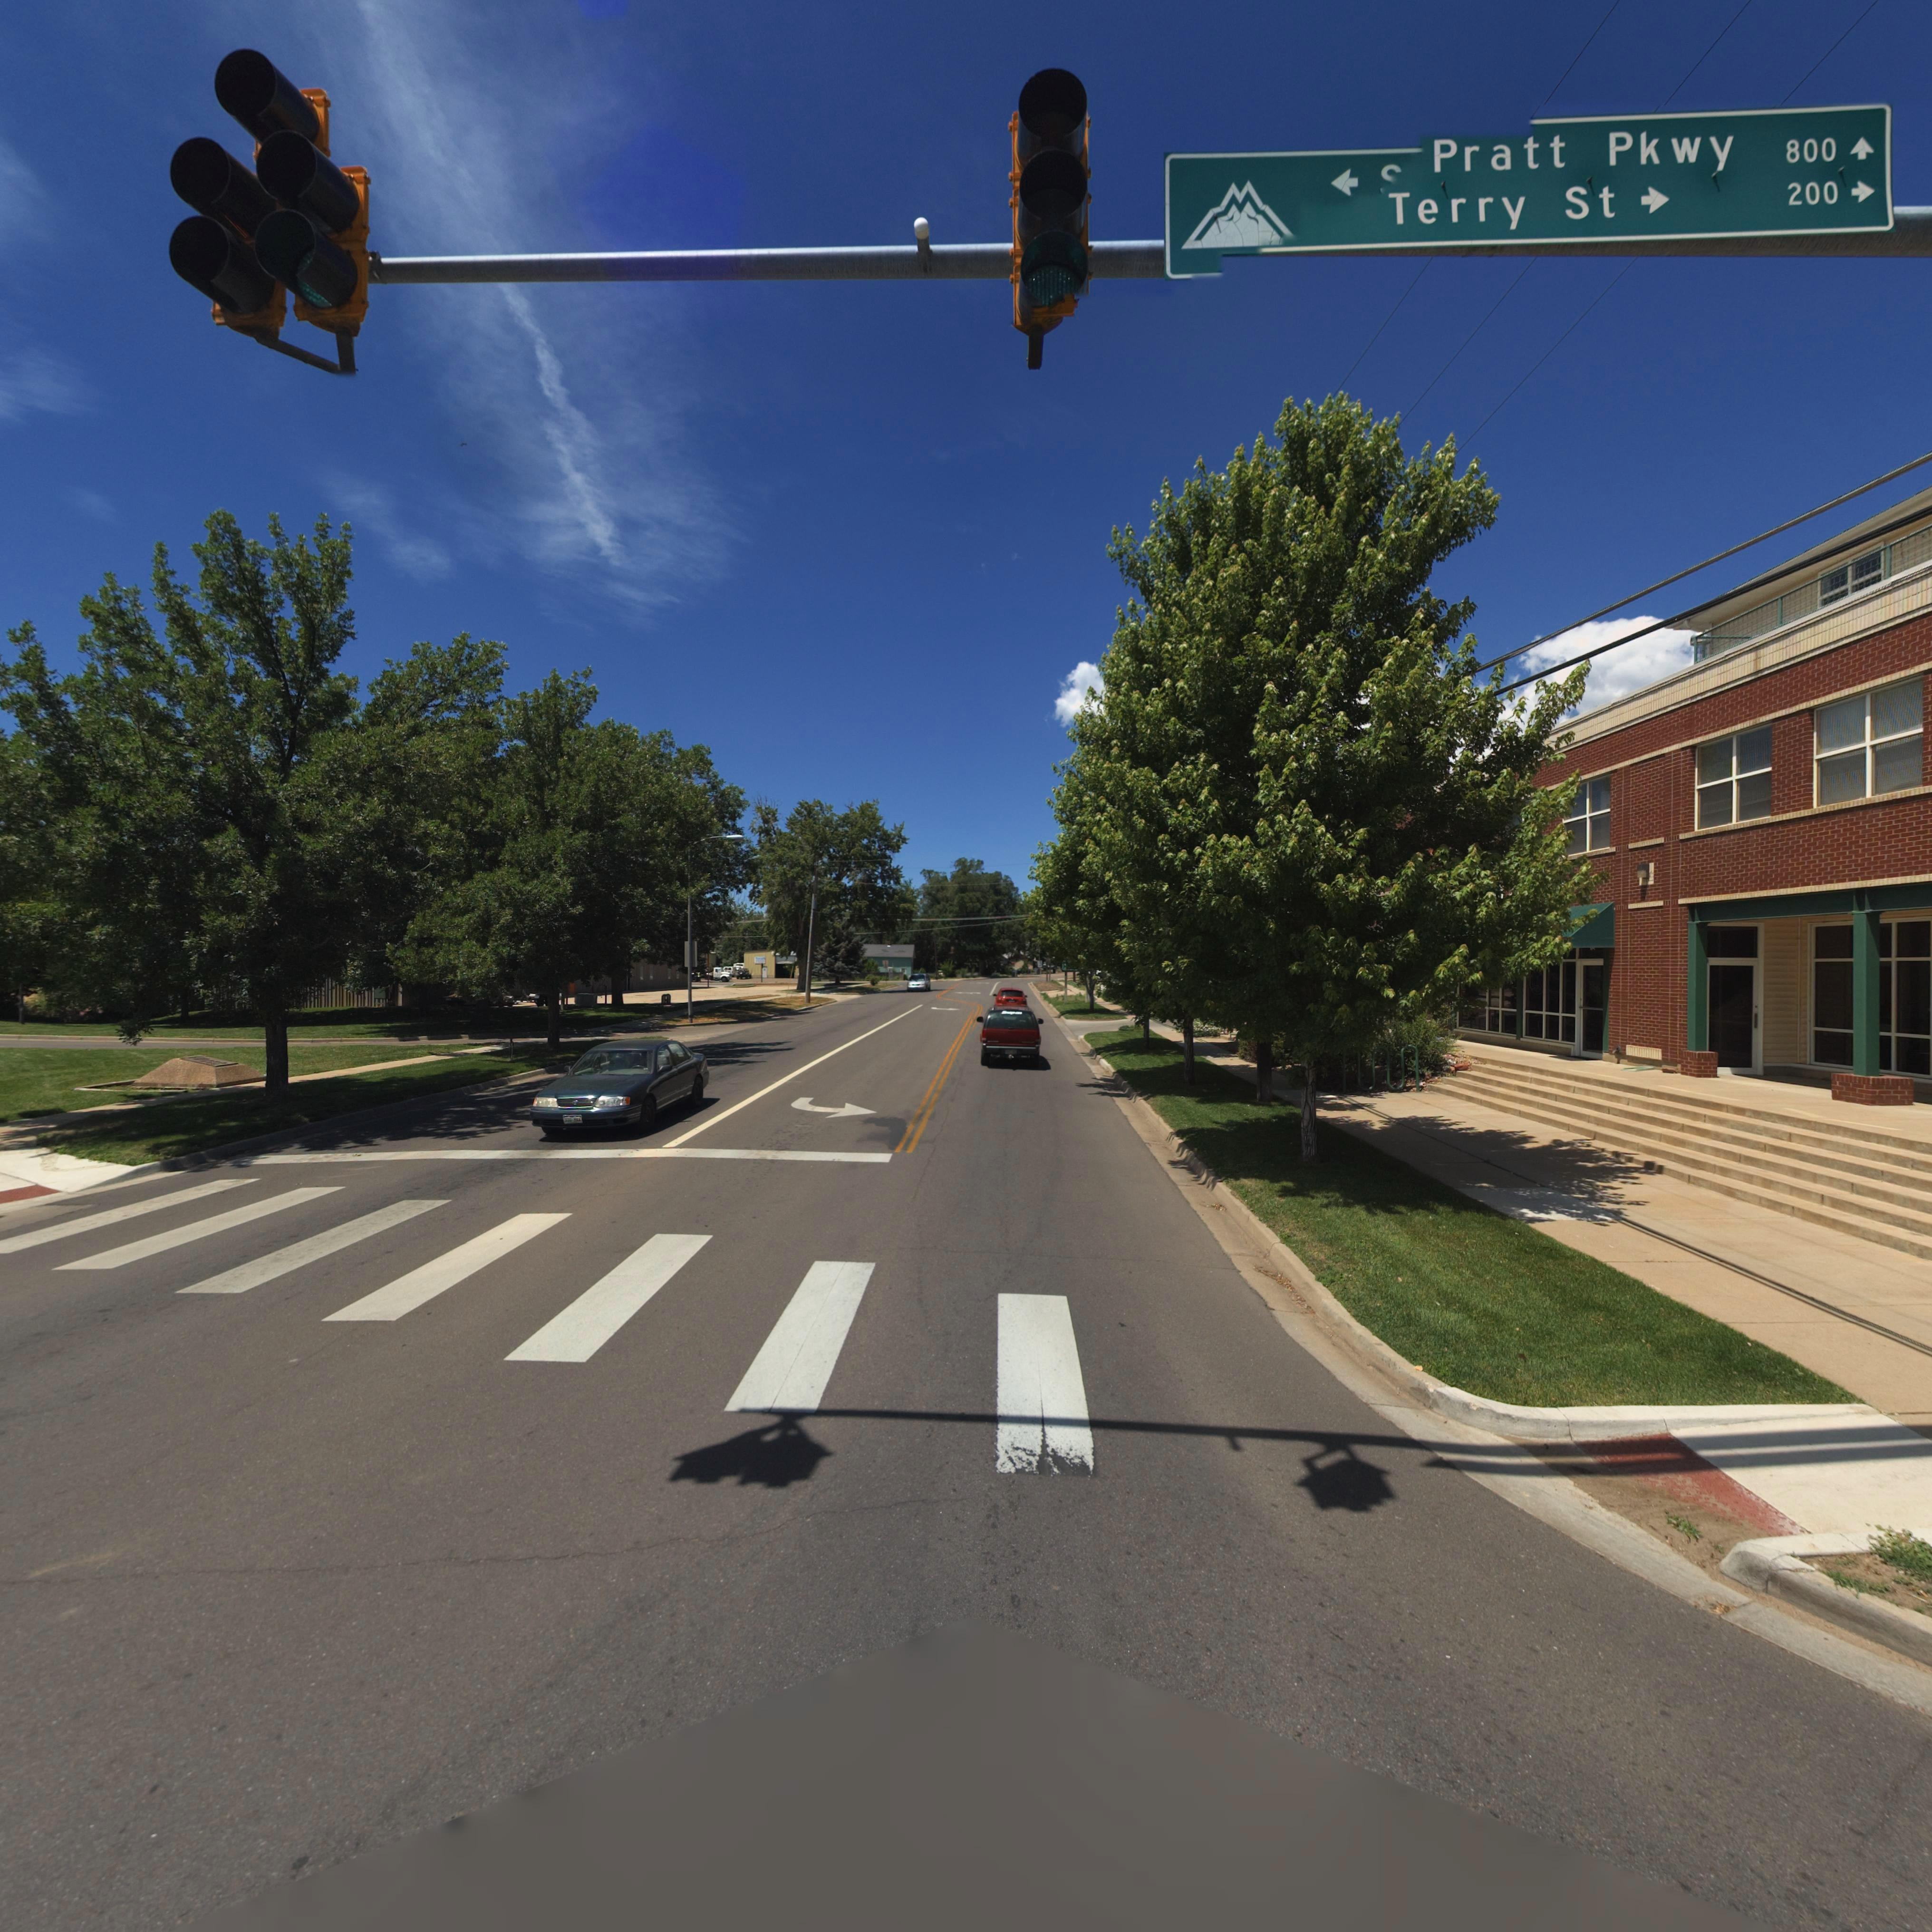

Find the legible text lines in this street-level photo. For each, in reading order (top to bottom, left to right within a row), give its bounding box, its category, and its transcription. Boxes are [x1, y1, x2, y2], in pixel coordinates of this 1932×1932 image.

[1784, 136, 1837, 164] StreetNumberRange: 800
[1787, 180, 1877, 207] StreetNumberRange: 200->
[1386, 183, 1618, 232] StreetName: Terry St